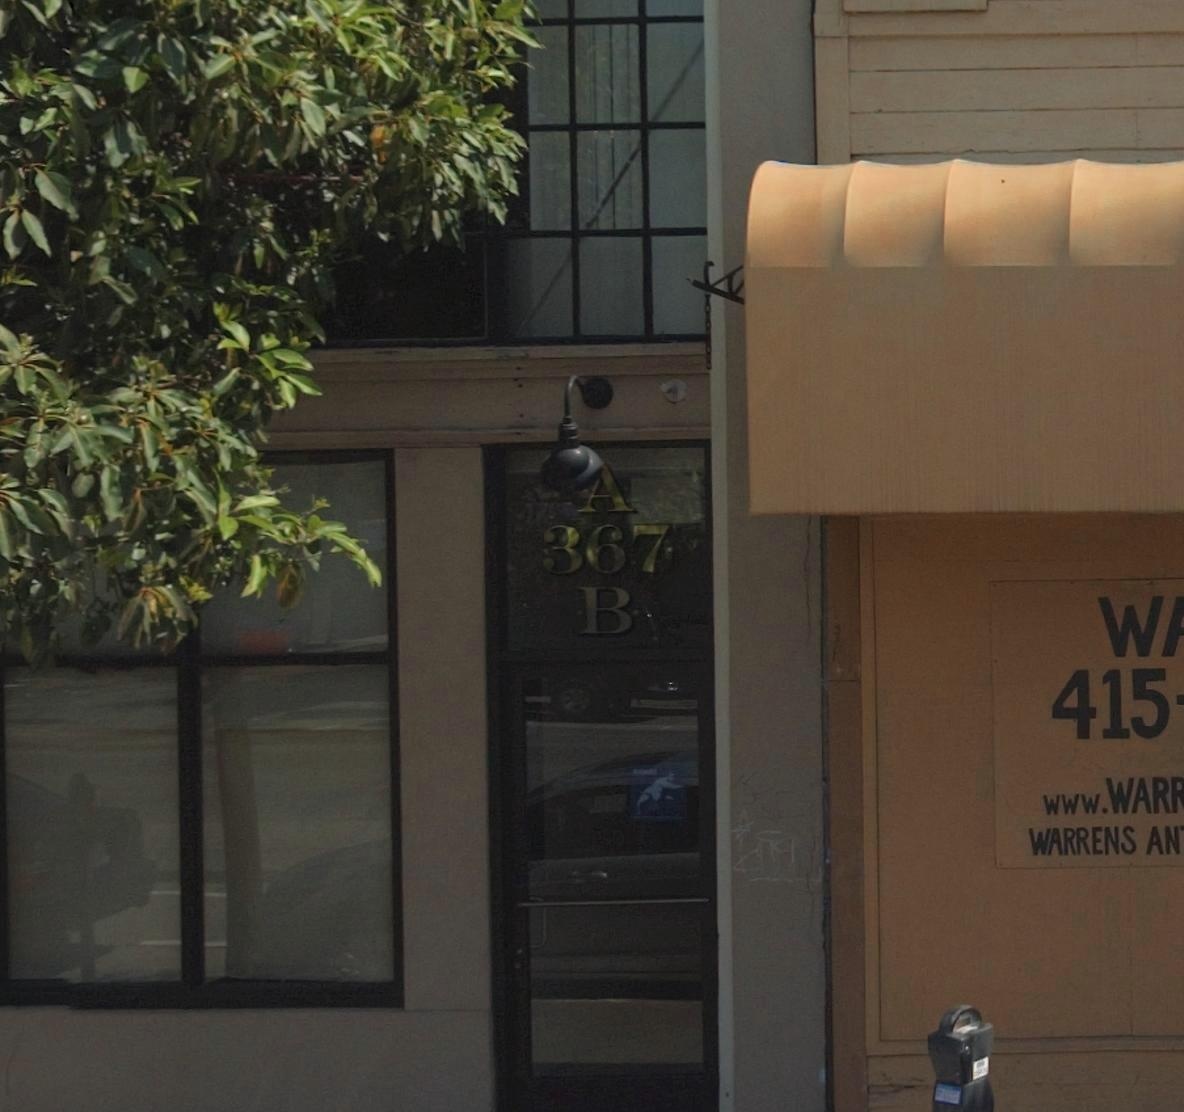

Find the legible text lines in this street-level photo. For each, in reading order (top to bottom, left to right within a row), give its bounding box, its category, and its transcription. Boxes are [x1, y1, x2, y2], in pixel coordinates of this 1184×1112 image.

[571, 459, 638, 514] StreetNumber: A
[541, 522, 671, 575] StreetNumber: 367
[574, 584, 634, 637] StreetNumber: B
[1095, 595, 1166, 660] None: W
[1049, 666, 1172, 743] None: 415
[1041, 775, 1172, 816] None: www.WAR
[1026, 825, 1182, 857] None: WARRENS AN